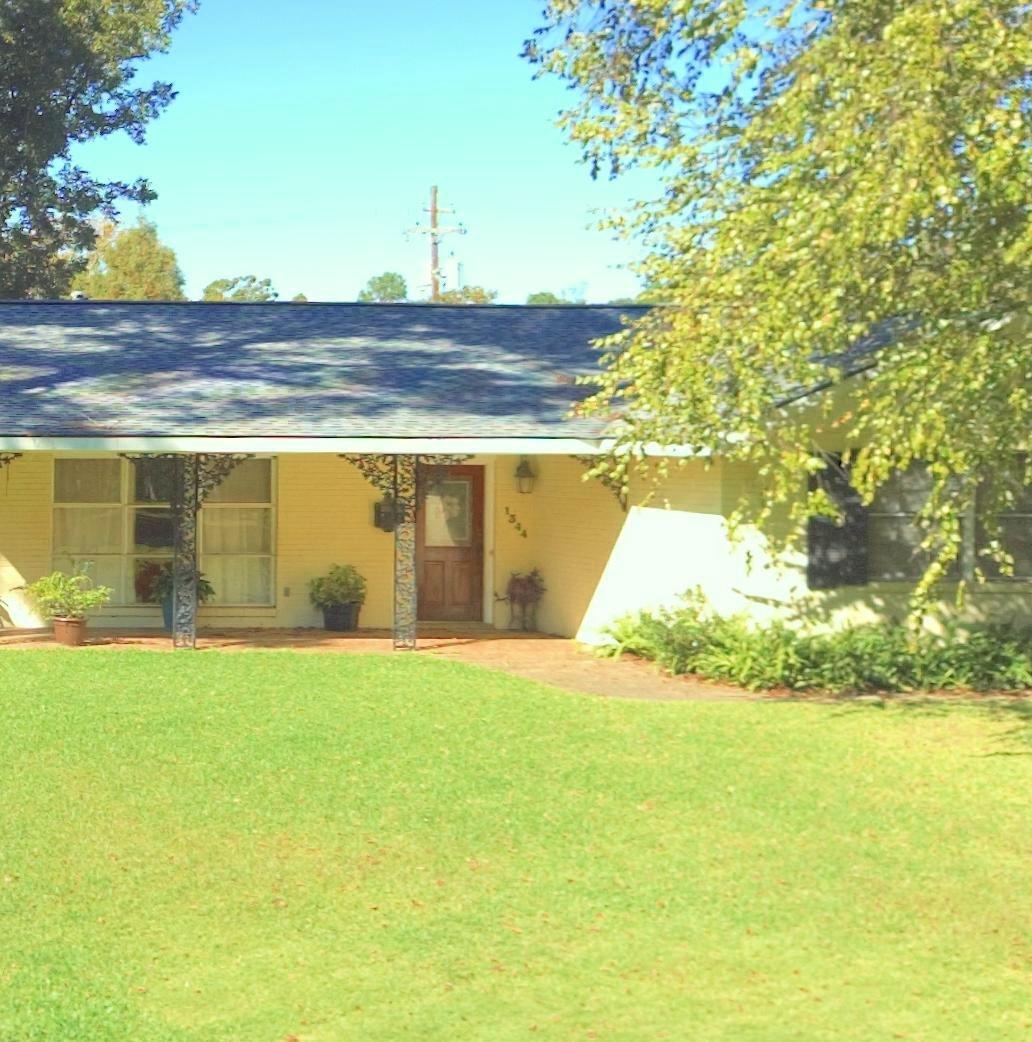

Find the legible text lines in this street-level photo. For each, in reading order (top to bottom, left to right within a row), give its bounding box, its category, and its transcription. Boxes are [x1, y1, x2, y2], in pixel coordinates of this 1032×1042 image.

[503, 504, 530, 541] StreetNumber: 1544